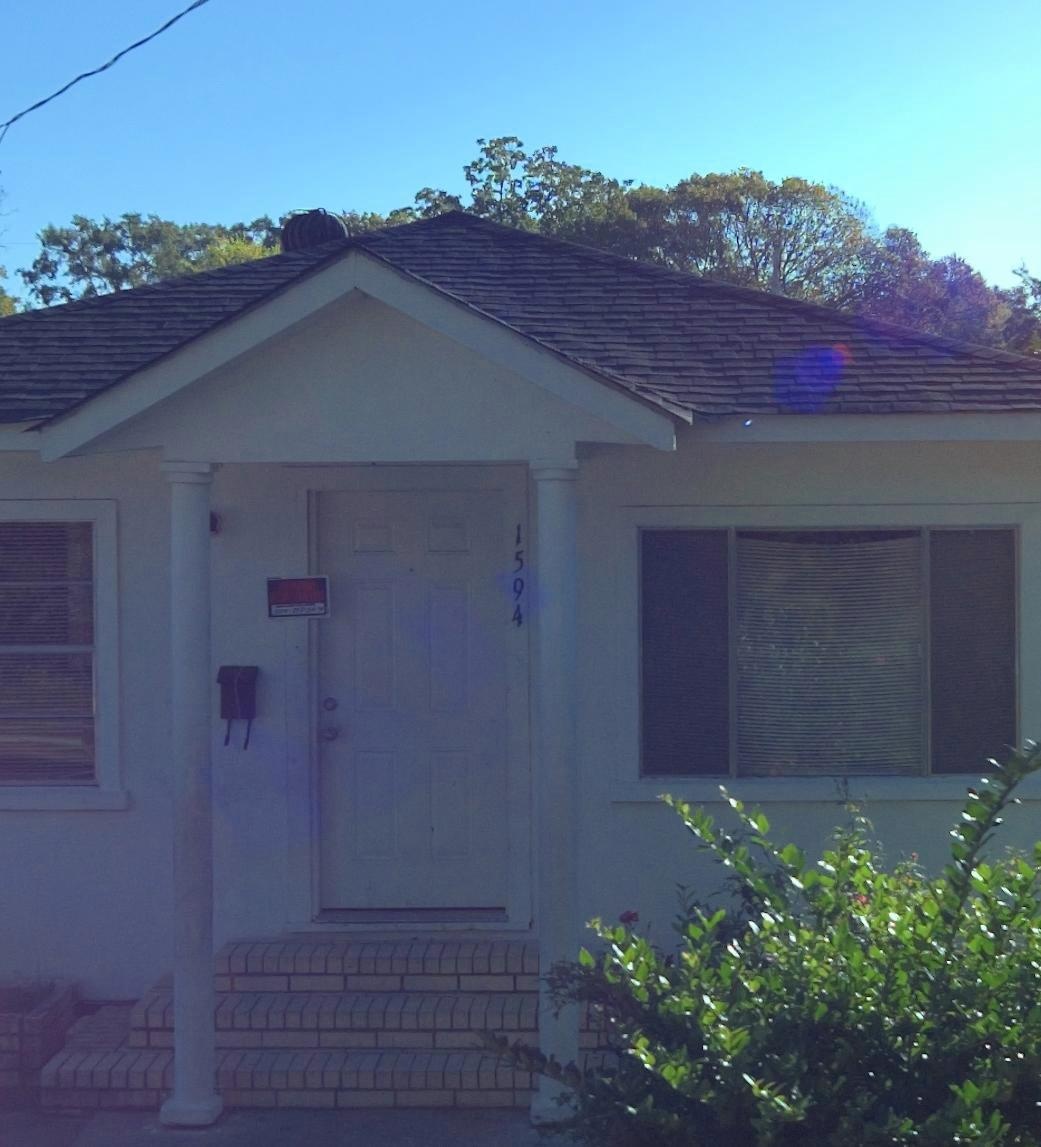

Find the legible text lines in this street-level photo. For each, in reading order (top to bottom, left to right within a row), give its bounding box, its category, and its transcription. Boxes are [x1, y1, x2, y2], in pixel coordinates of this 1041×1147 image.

[510, 521, 527, 629] StreetNumber: 1594